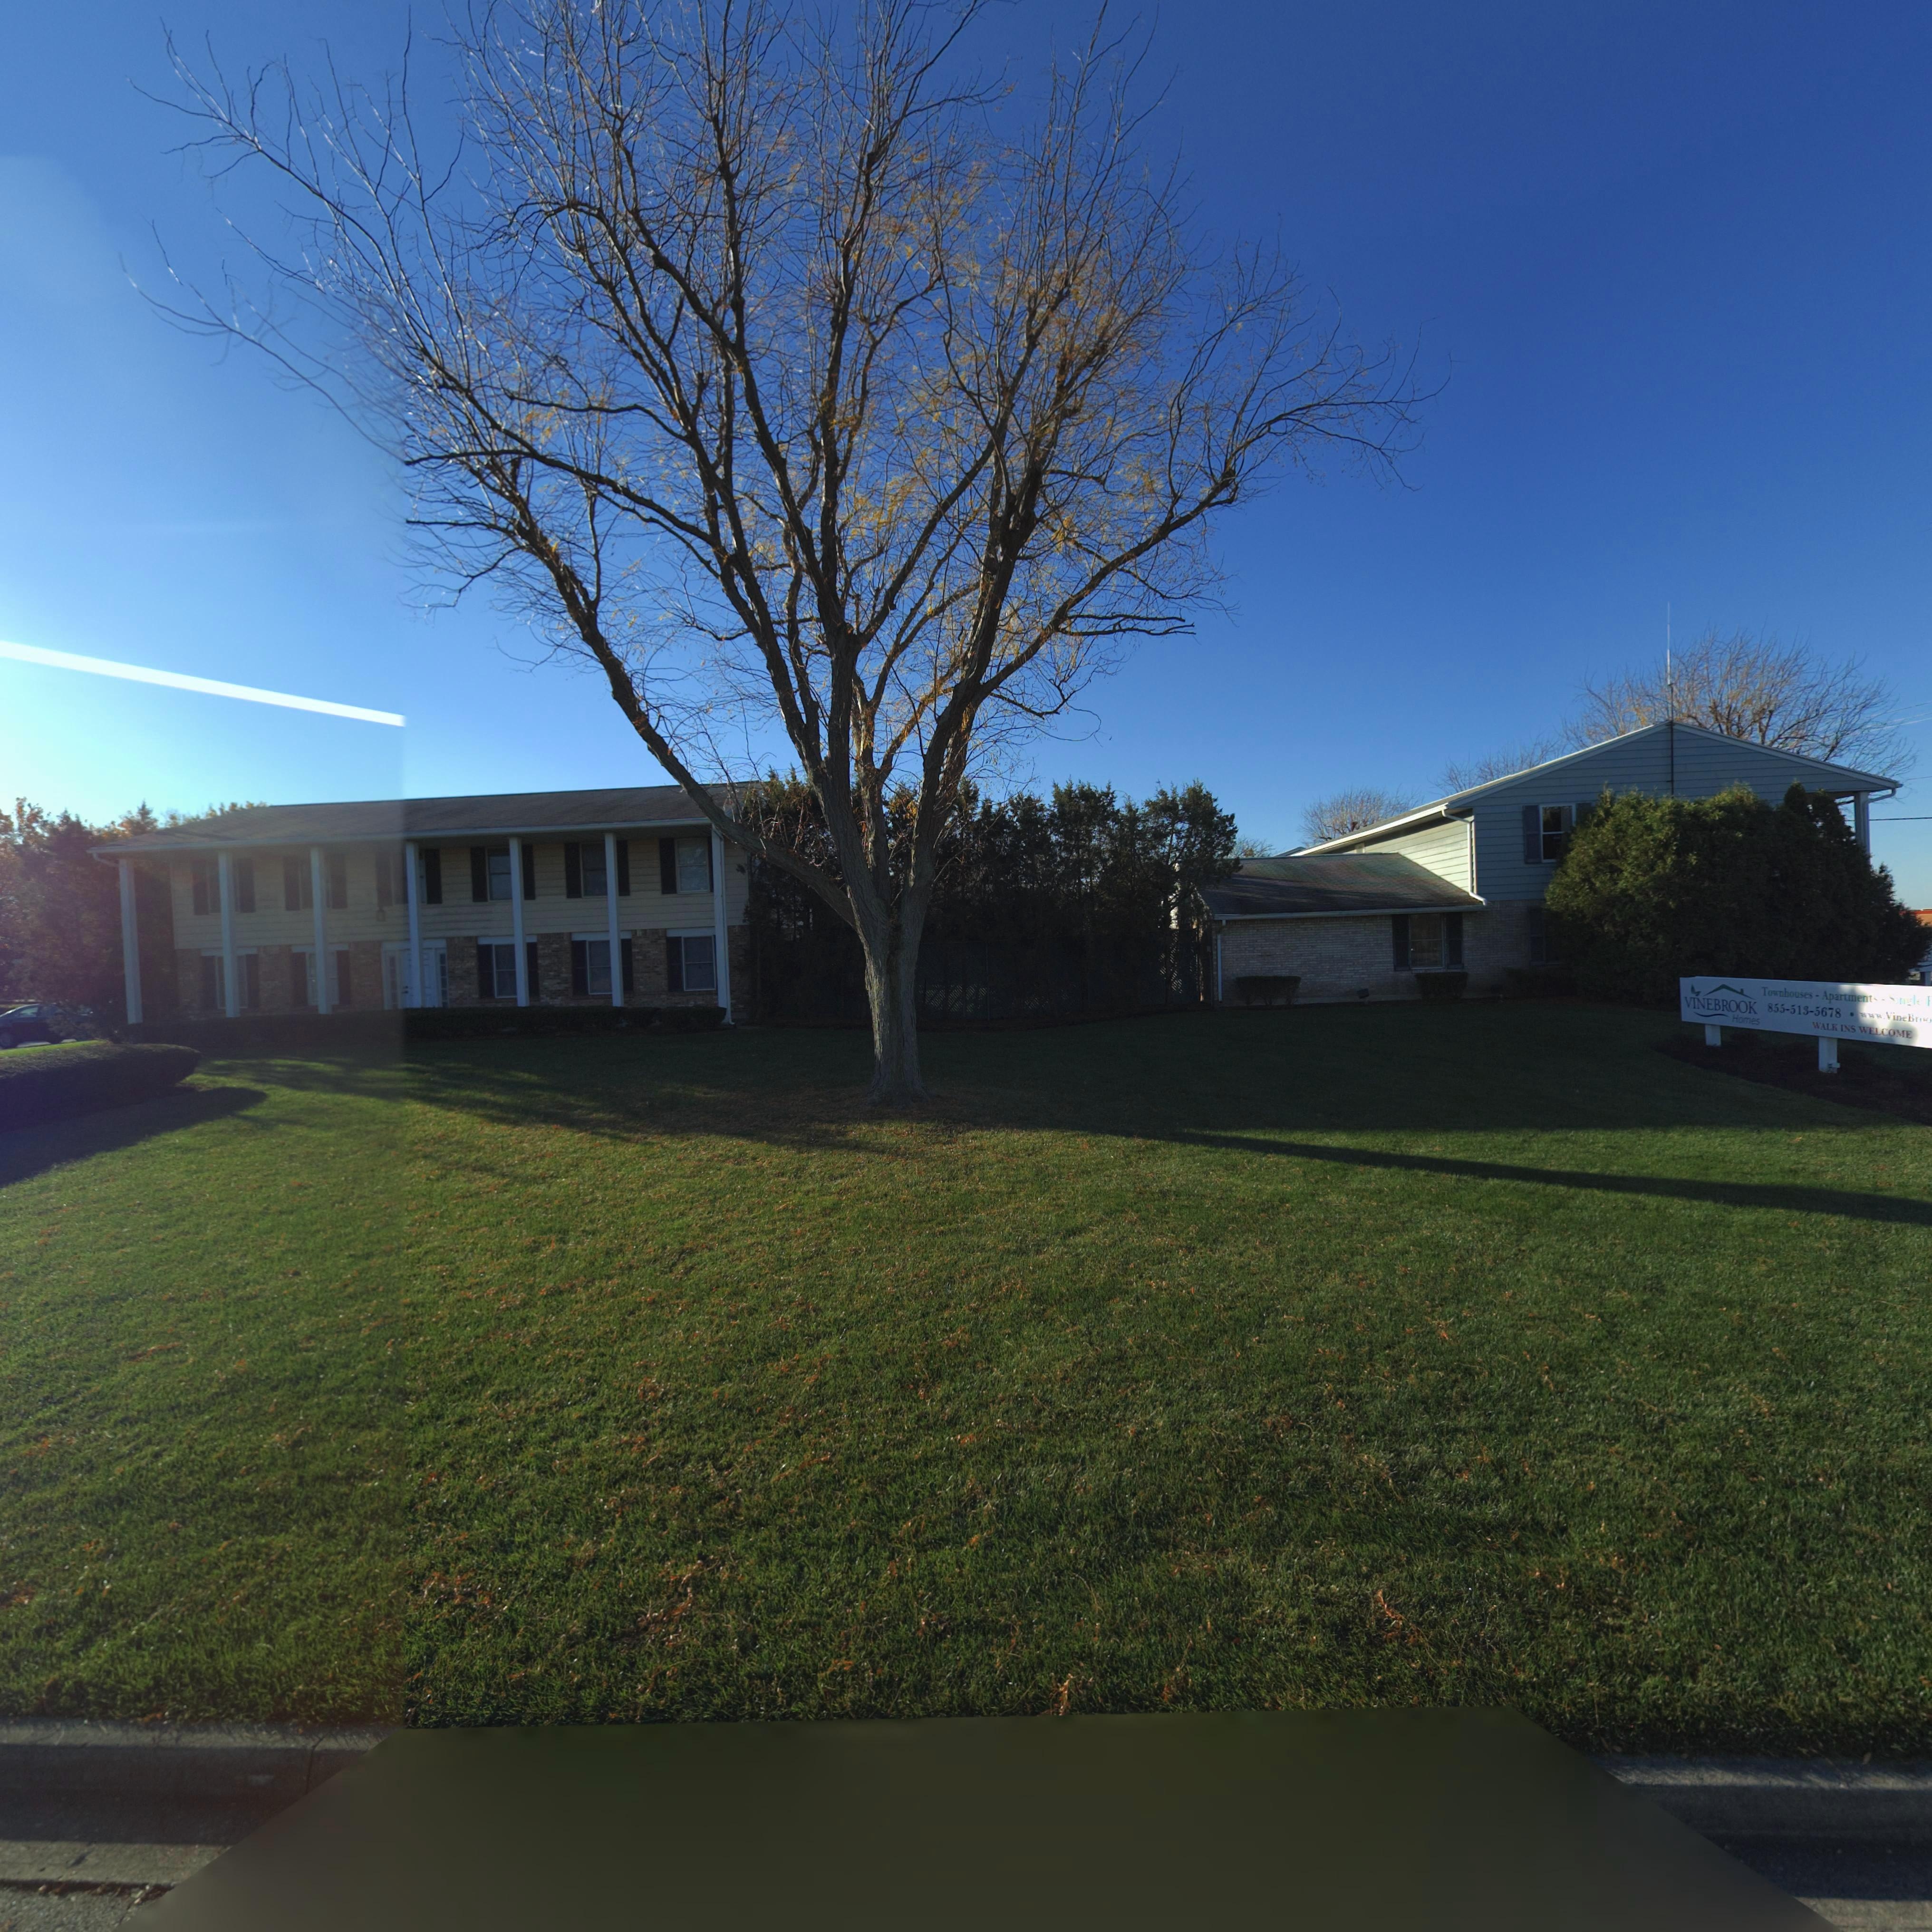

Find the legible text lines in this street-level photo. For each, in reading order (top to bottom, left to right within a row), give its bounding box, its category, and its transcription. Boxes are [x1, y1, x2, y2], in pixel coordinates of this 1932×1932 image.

[448, 959, 476, 969] StreetNumber: 5550